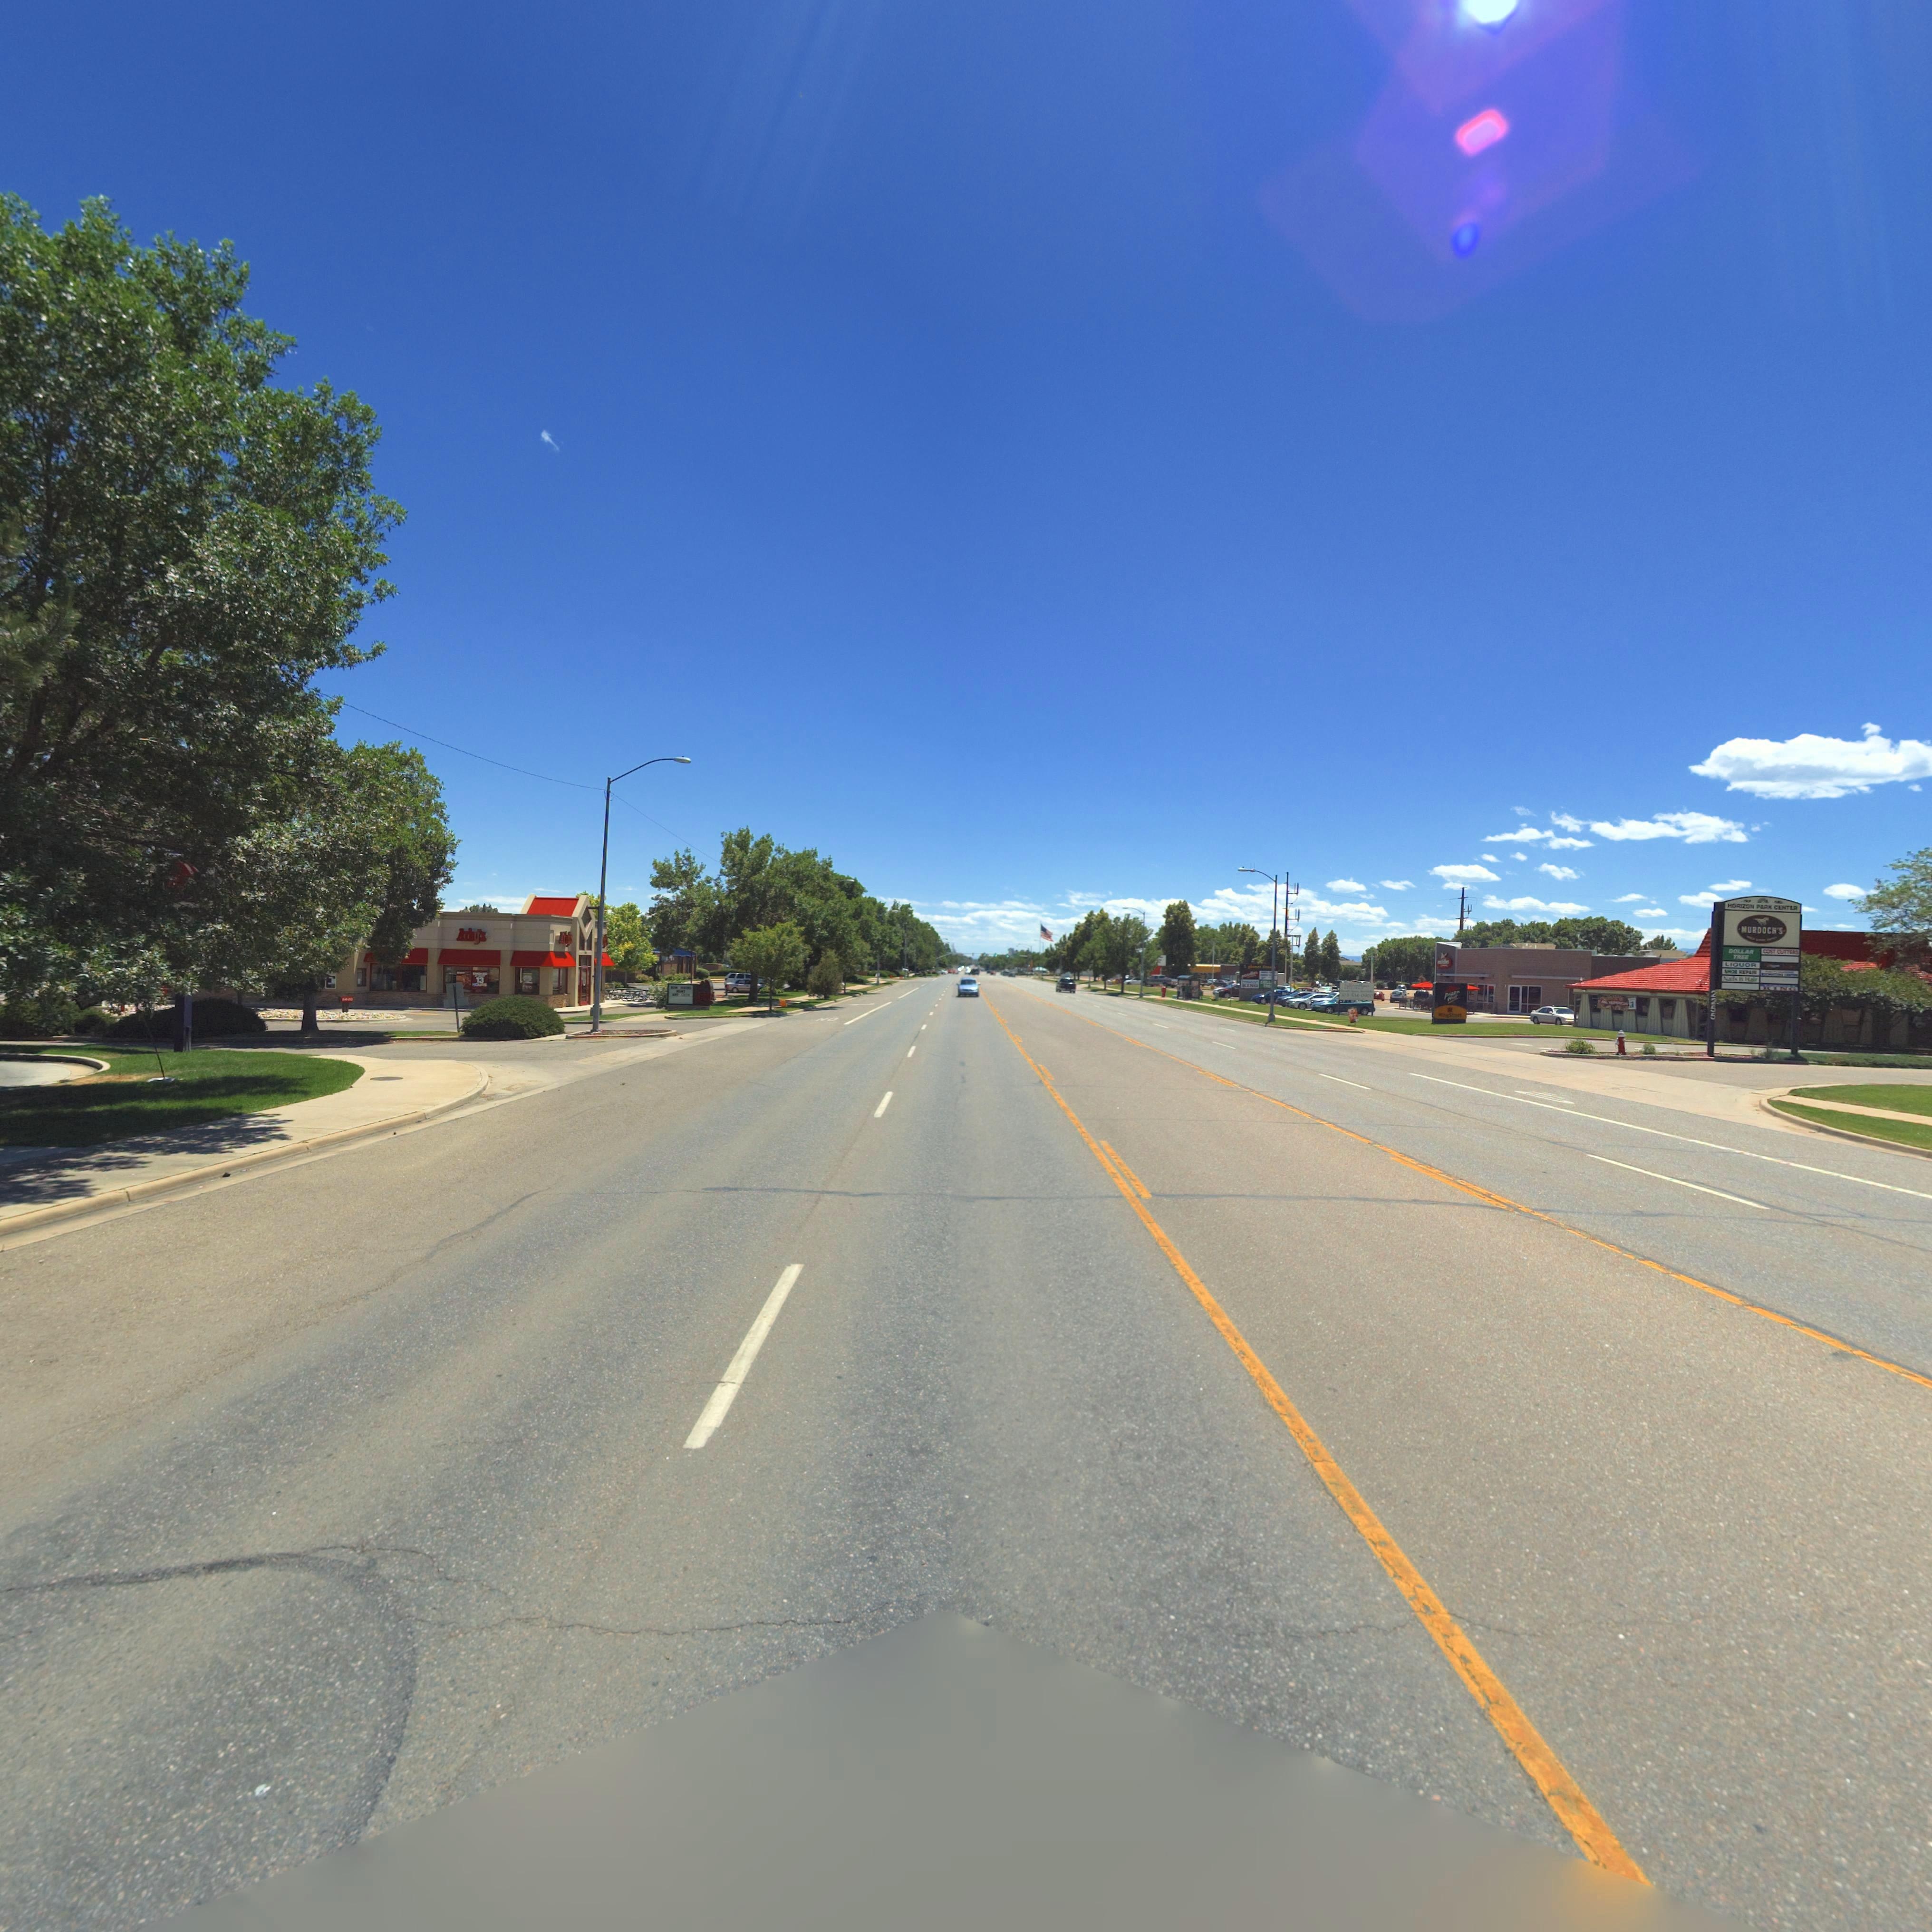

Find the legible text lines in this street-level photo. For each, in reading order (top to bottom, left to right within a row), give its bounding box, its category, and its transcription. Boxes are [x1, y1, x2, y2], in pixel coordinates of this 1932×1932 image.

[1741, 926, 1783, 934] BusinessName: MURDOCH'S
[455, 927, 487, 945] BusinessName: Arby's
[558, 931, 573, 947] BusinessName: Arby's
[1728, 949, 1754, 954] BusinessName: DOLLAR
[1763, 949, 1798, 954] BusinessName: COST CUTTERS
[1732, 955, 1749, 959] BusinessName: TREE
[1437, 958, 1449, 964] BusinessName: no*d*es
[1247, 964, 1275, 969] BusinessName: planet fitne**
[1241, 970, 1258, 978] BusinessName: noodles
[1260, 980, 1276, 984] BusinessName: DOLL**
[1242, 984, 1258, 987] BusinessName: KING
[1263, 984, 1272, 988] BusinessName: TRE*
[1763, 986, 1796, 991] BusinessName: KING
[1443, 990, 1460, 1000] BusinessName: pizza
[1447, 994, 1459, 1002] BusinessName: Hut
[1710, 989, 1716, 1020] StreetNumber: 2255
[1438, 1013, 1461, 1018] BusinessName: WingStreet